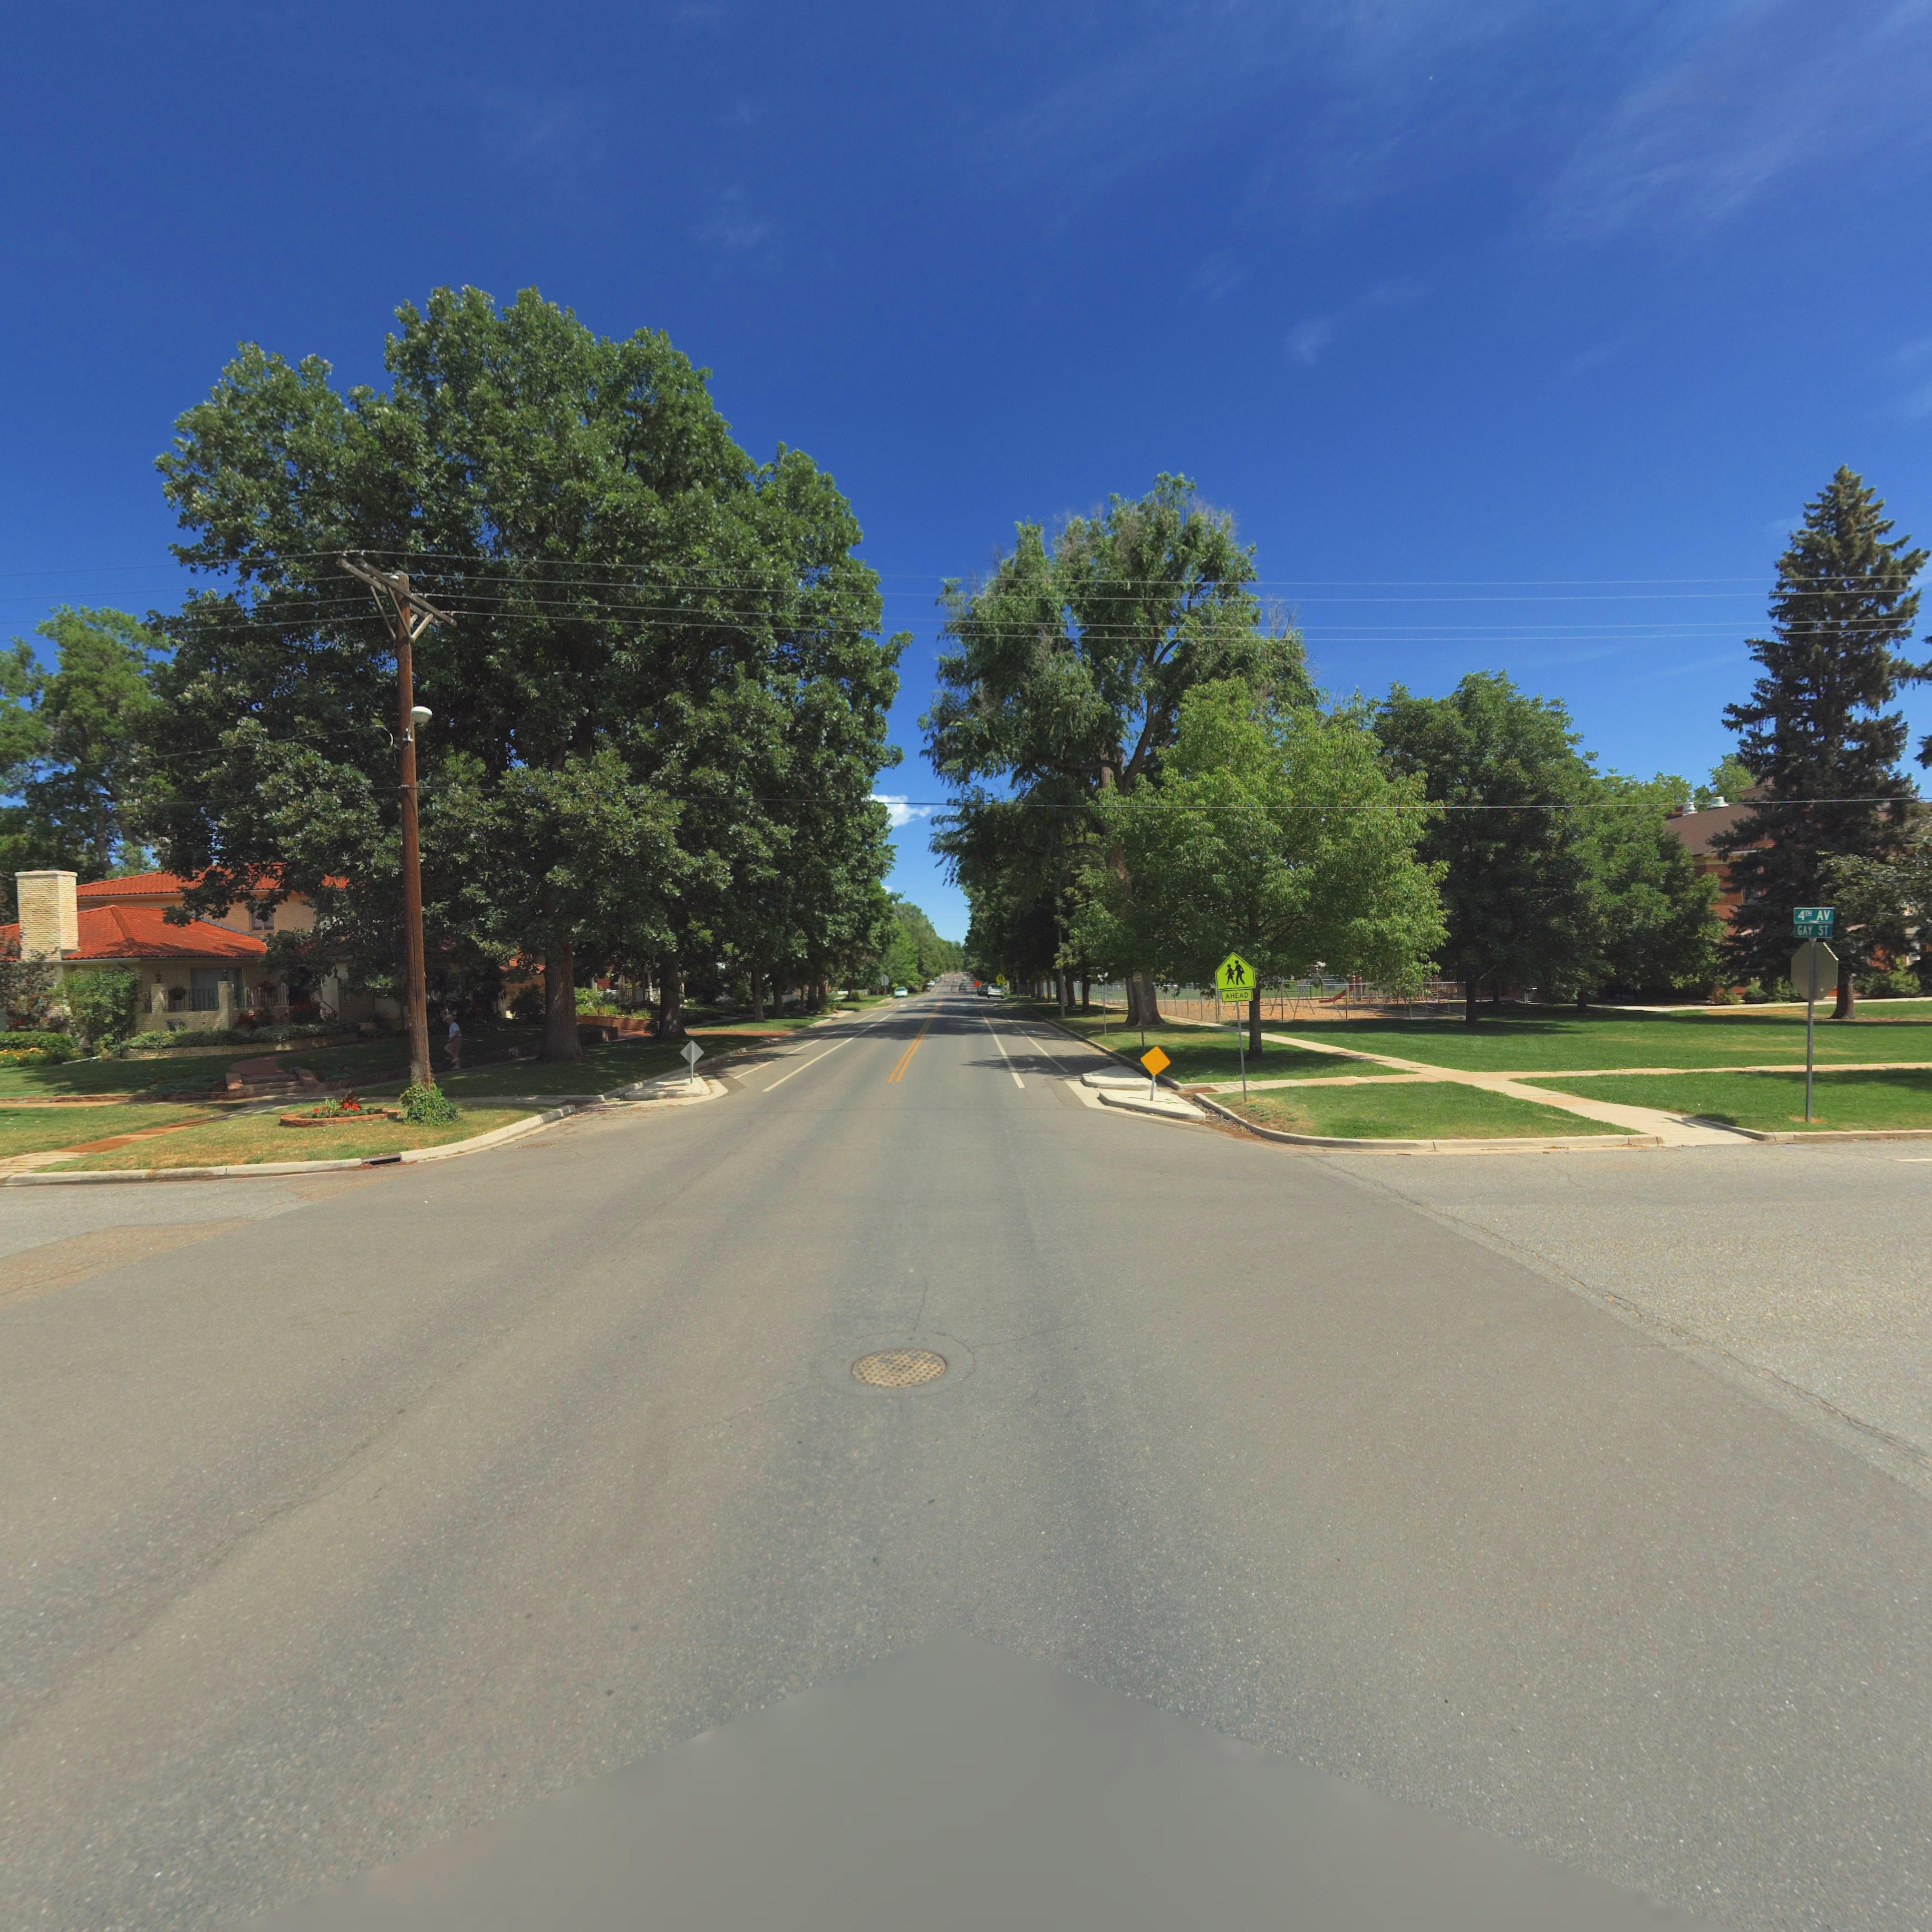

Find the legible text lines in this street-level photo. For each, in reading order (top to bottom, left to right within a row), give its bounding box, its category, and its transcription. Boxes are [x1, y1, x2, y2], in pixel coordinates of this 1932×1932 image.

[1797, 909, 1830, 920] StreetName: 4T* AV
[1797, 925, 1829, 936] StreetName: GAY ST